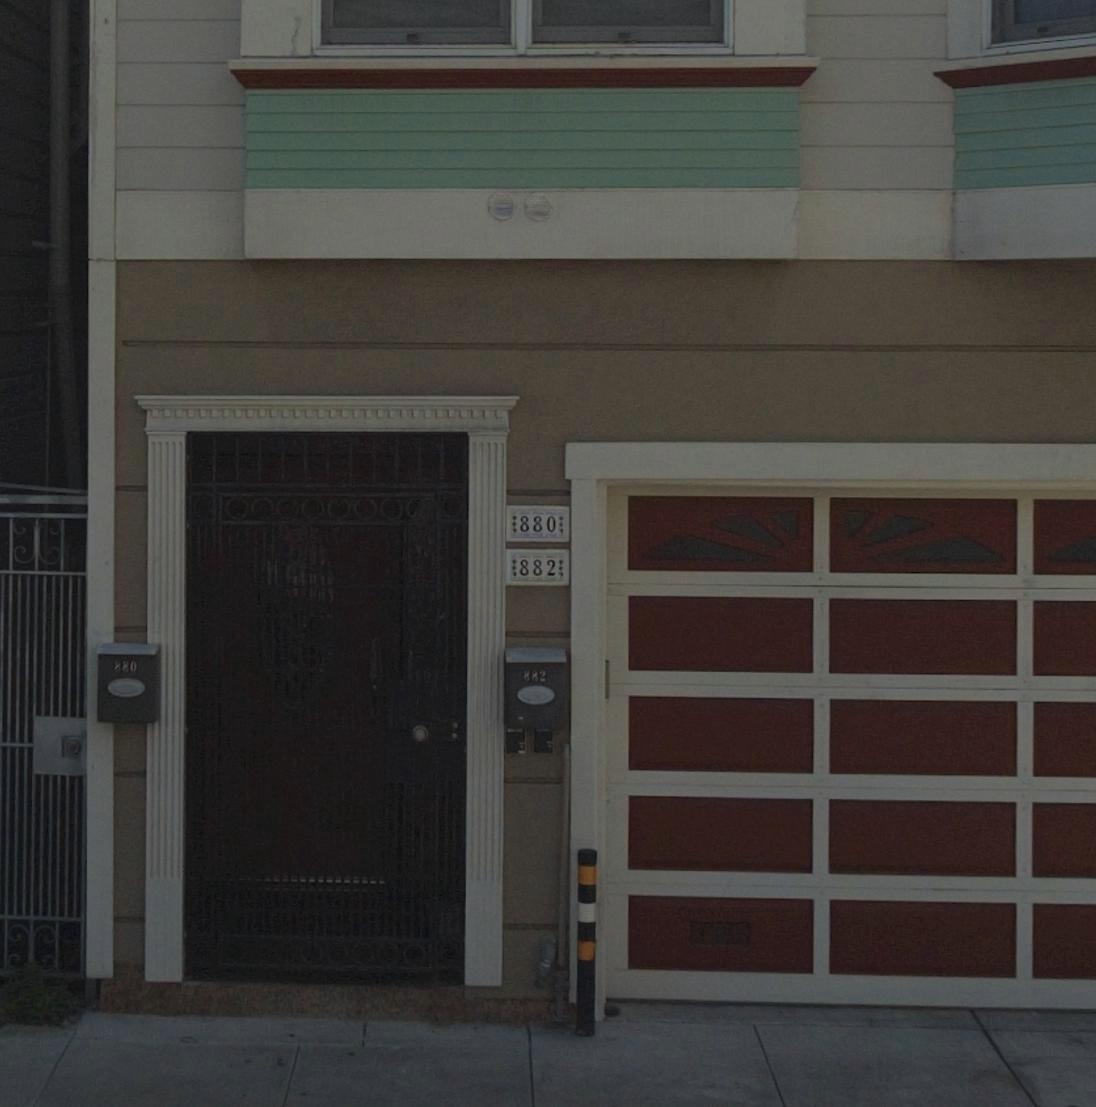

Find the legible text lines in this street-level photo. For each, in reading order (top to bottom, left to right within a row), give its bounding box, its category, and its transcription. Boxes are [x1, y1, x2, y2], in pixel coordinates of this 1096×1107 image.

[517, 514, 558, 535] StreetNumber: 880
[516, 556, 558, 579] StreetNumber: 882
[112, 658, 140, 675] StreetNumber: 880
[521, 667, 549, 684] StreetNumber: 882